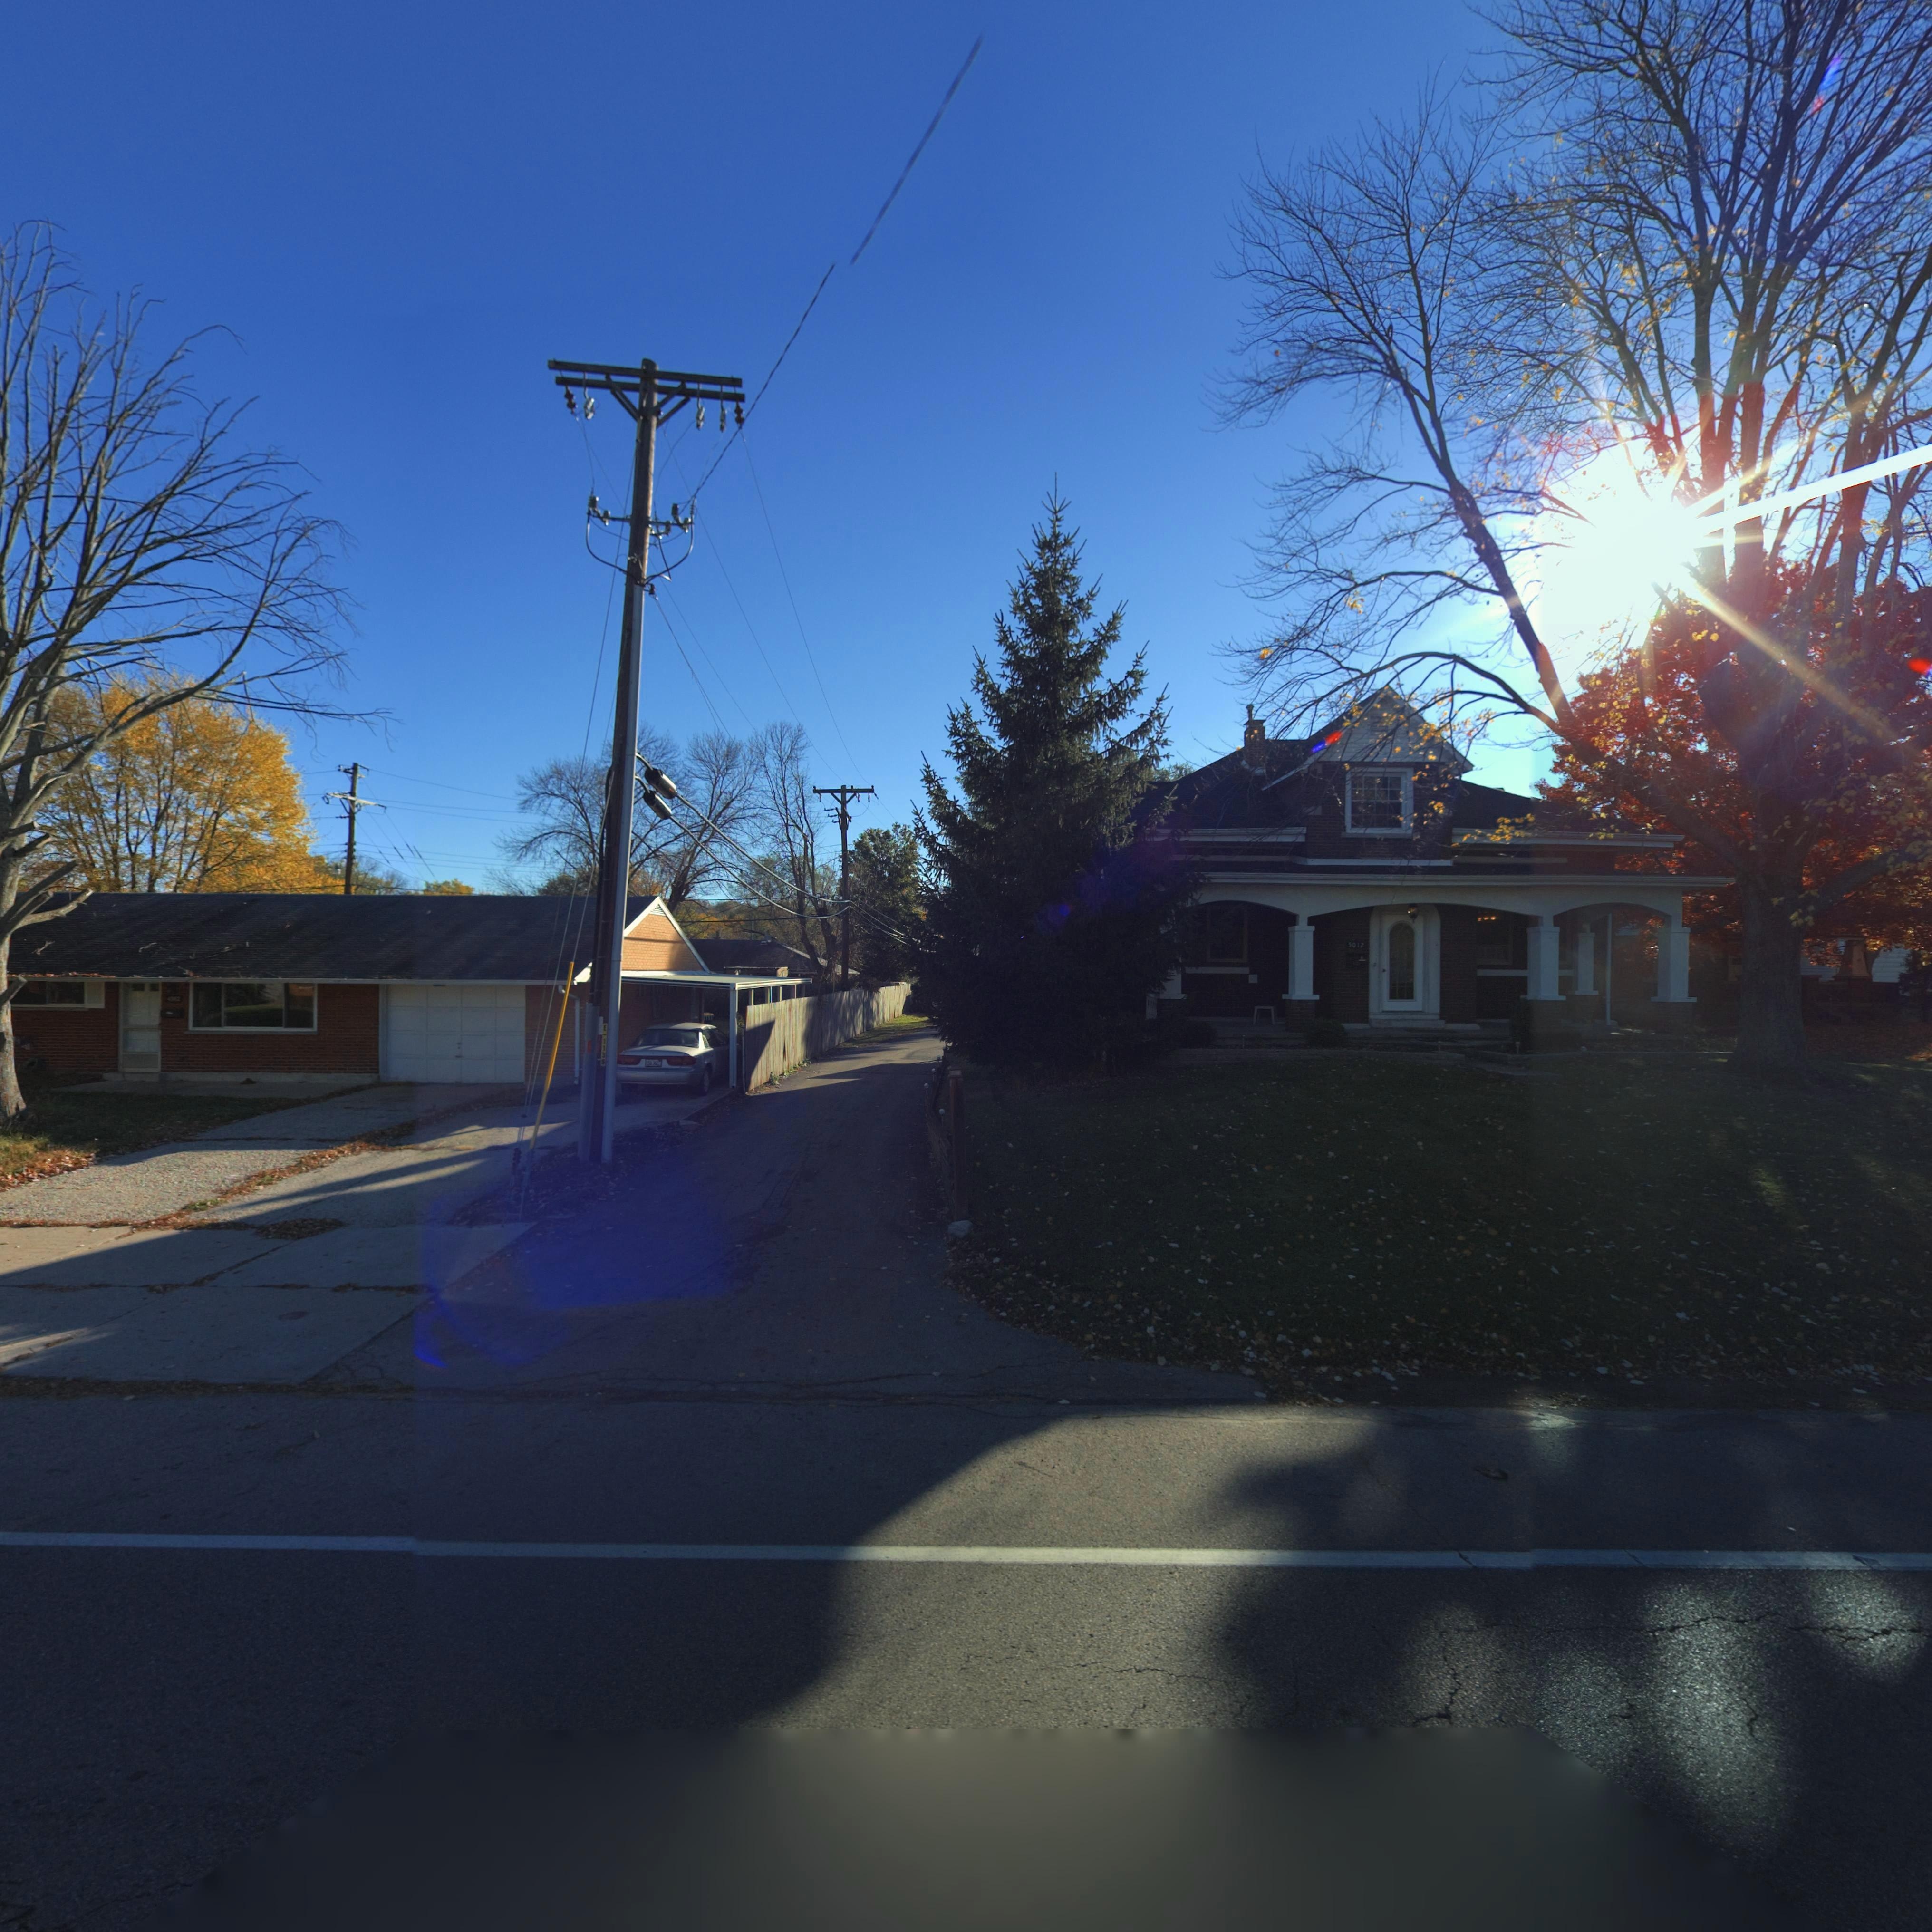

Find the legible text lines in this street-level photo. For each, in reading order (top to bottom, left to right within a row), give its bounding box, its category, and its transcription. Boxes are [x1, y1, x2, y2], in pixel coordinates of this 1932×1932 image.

[1347, 941, 1364, 948] StreetNumber: 5012